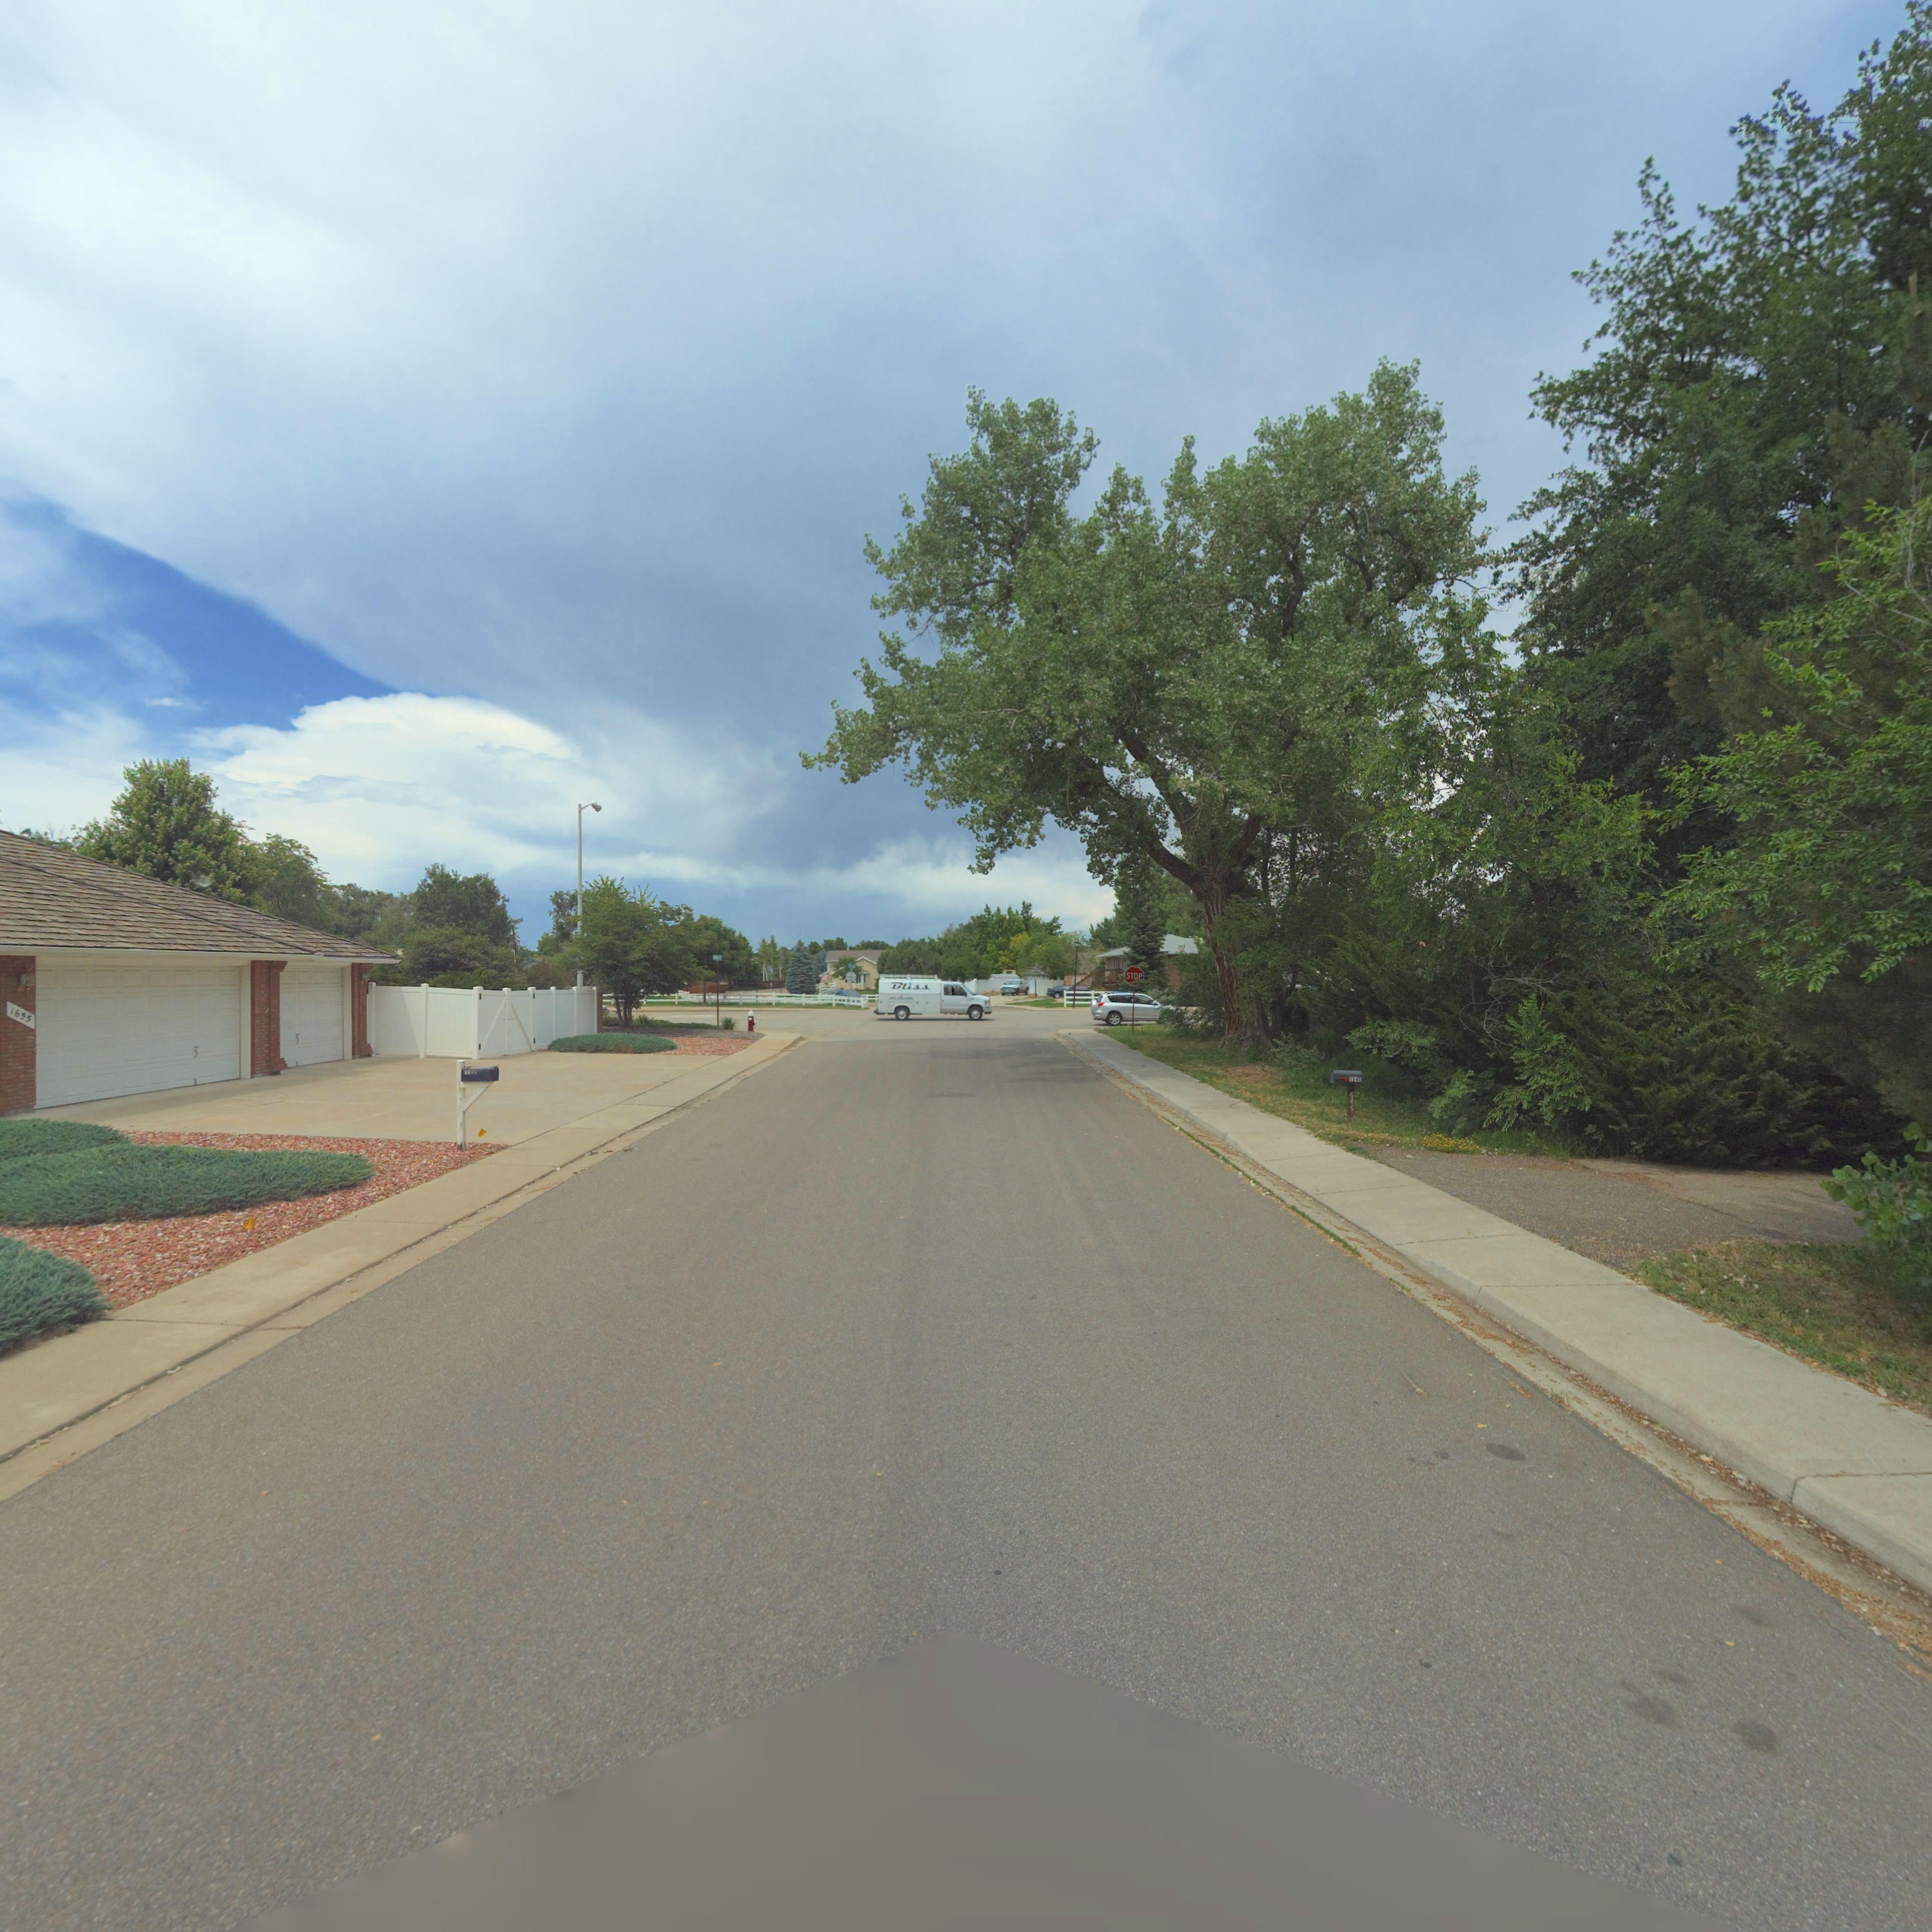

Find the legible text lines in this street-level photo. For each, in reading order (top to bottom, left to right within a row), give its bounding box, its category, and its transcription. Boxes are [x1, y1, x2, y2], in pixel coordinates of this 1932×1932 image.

[10, 1005, 32, 1023] StreetNumber: 1655
[1350, 1076, 1362, 1082] StreetNumber: 1*4*
[1349, 1091, 1354, 1112] StreetNumber: 646